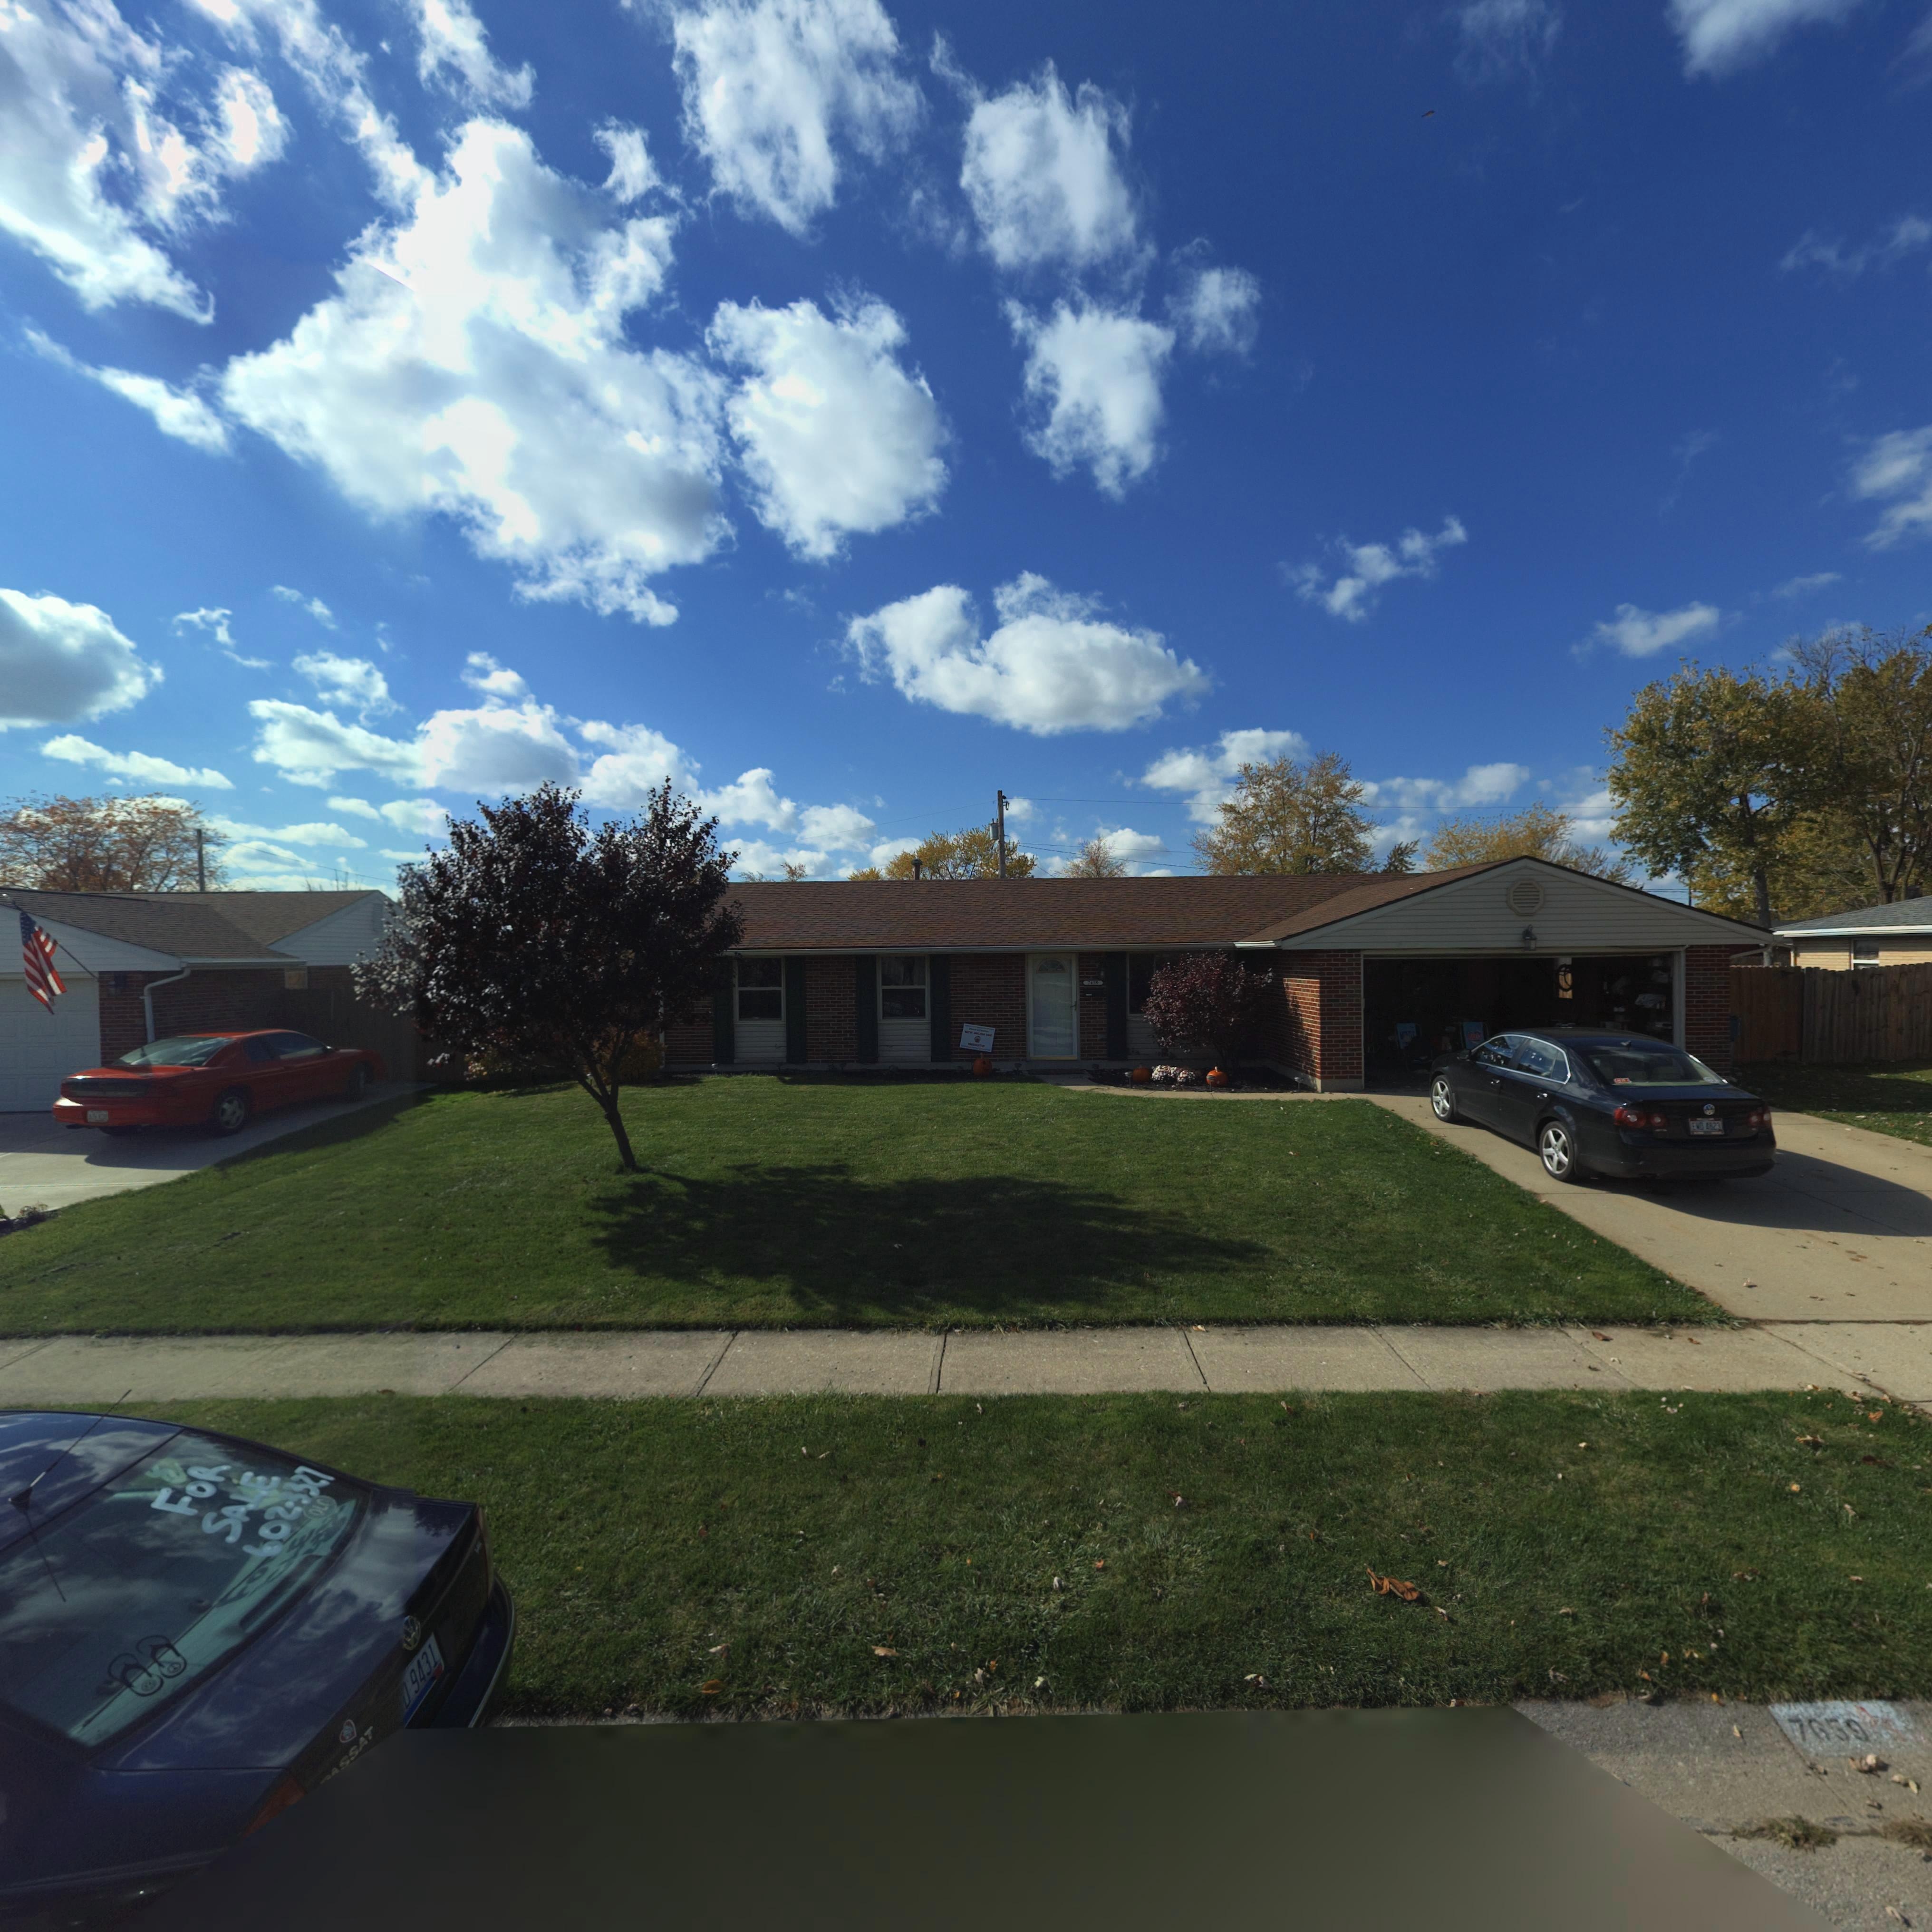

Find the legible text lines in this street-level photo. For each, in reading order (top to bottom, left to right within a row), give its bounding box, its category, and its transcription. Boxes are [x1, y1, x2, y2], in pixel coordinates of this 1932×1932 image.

[1087, 980, 1099, 985] StreetNumber: 7659
[1786, 1717, 1871, 1743] StreetNumber: 7659